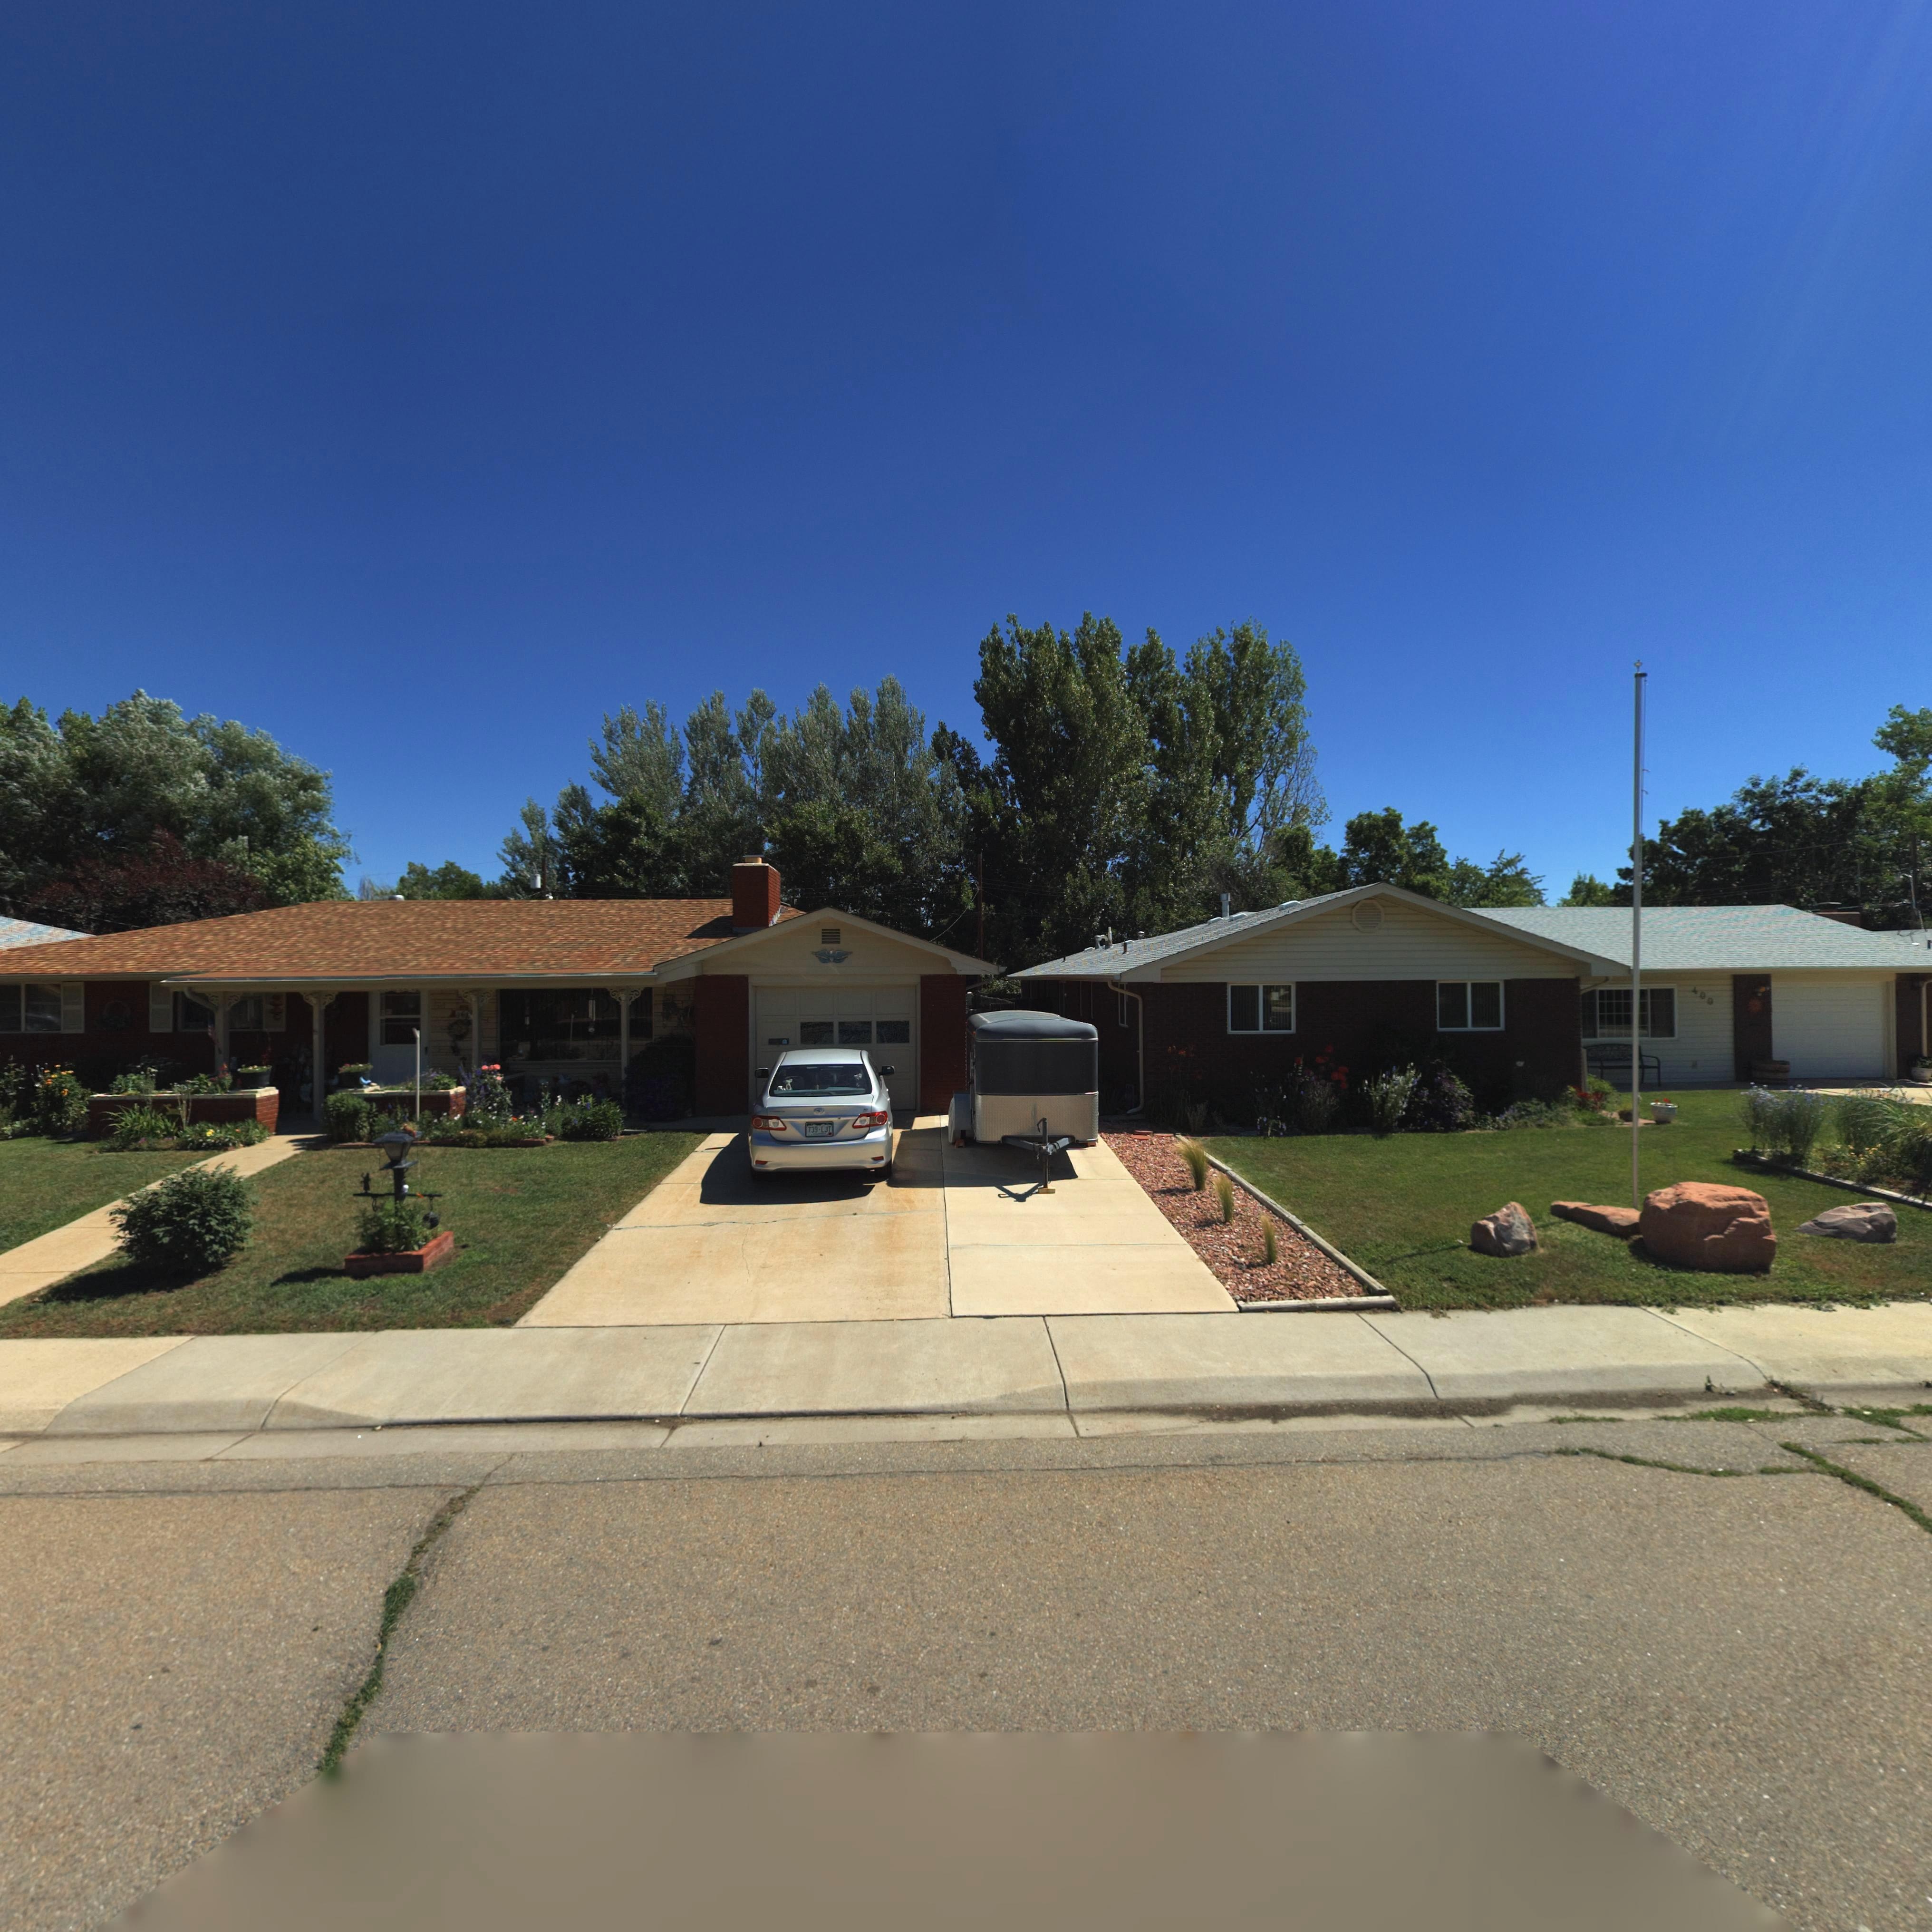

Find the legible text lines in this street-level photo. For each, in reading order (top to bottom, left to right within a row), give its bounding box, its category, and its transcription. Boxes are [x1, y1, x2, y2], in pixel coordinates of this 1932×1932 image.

[1690, 985, 1714, 1006] StreetNumber: 400
[455, 1010, 471, 1019] StreetNumber: *6*